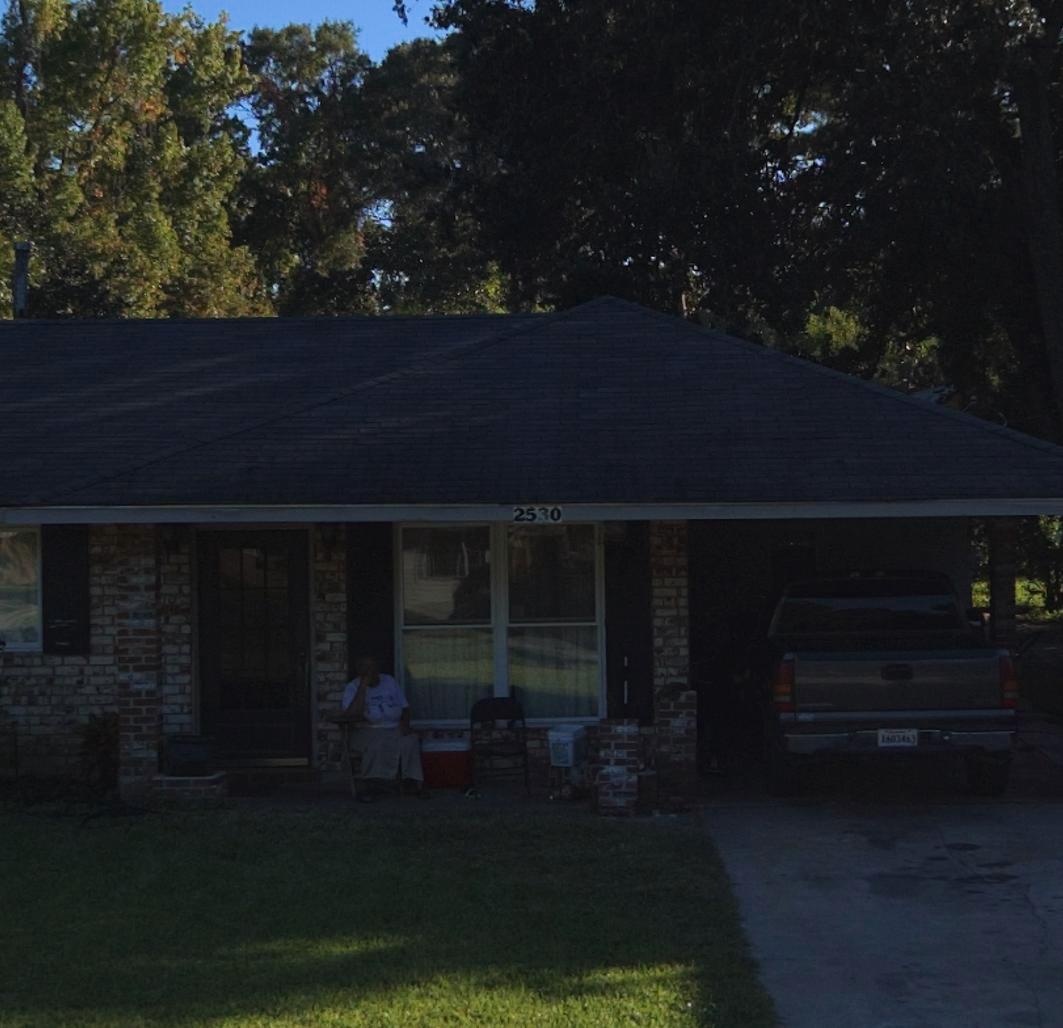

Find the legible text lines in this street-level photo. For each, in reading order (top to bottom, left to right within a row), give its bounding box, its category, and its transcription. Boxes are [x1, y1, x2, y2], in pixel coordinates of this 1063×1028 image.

[513, 507, 563, 523] StreetNumber: 2530
[879, 733, 917, 744] None: X603463